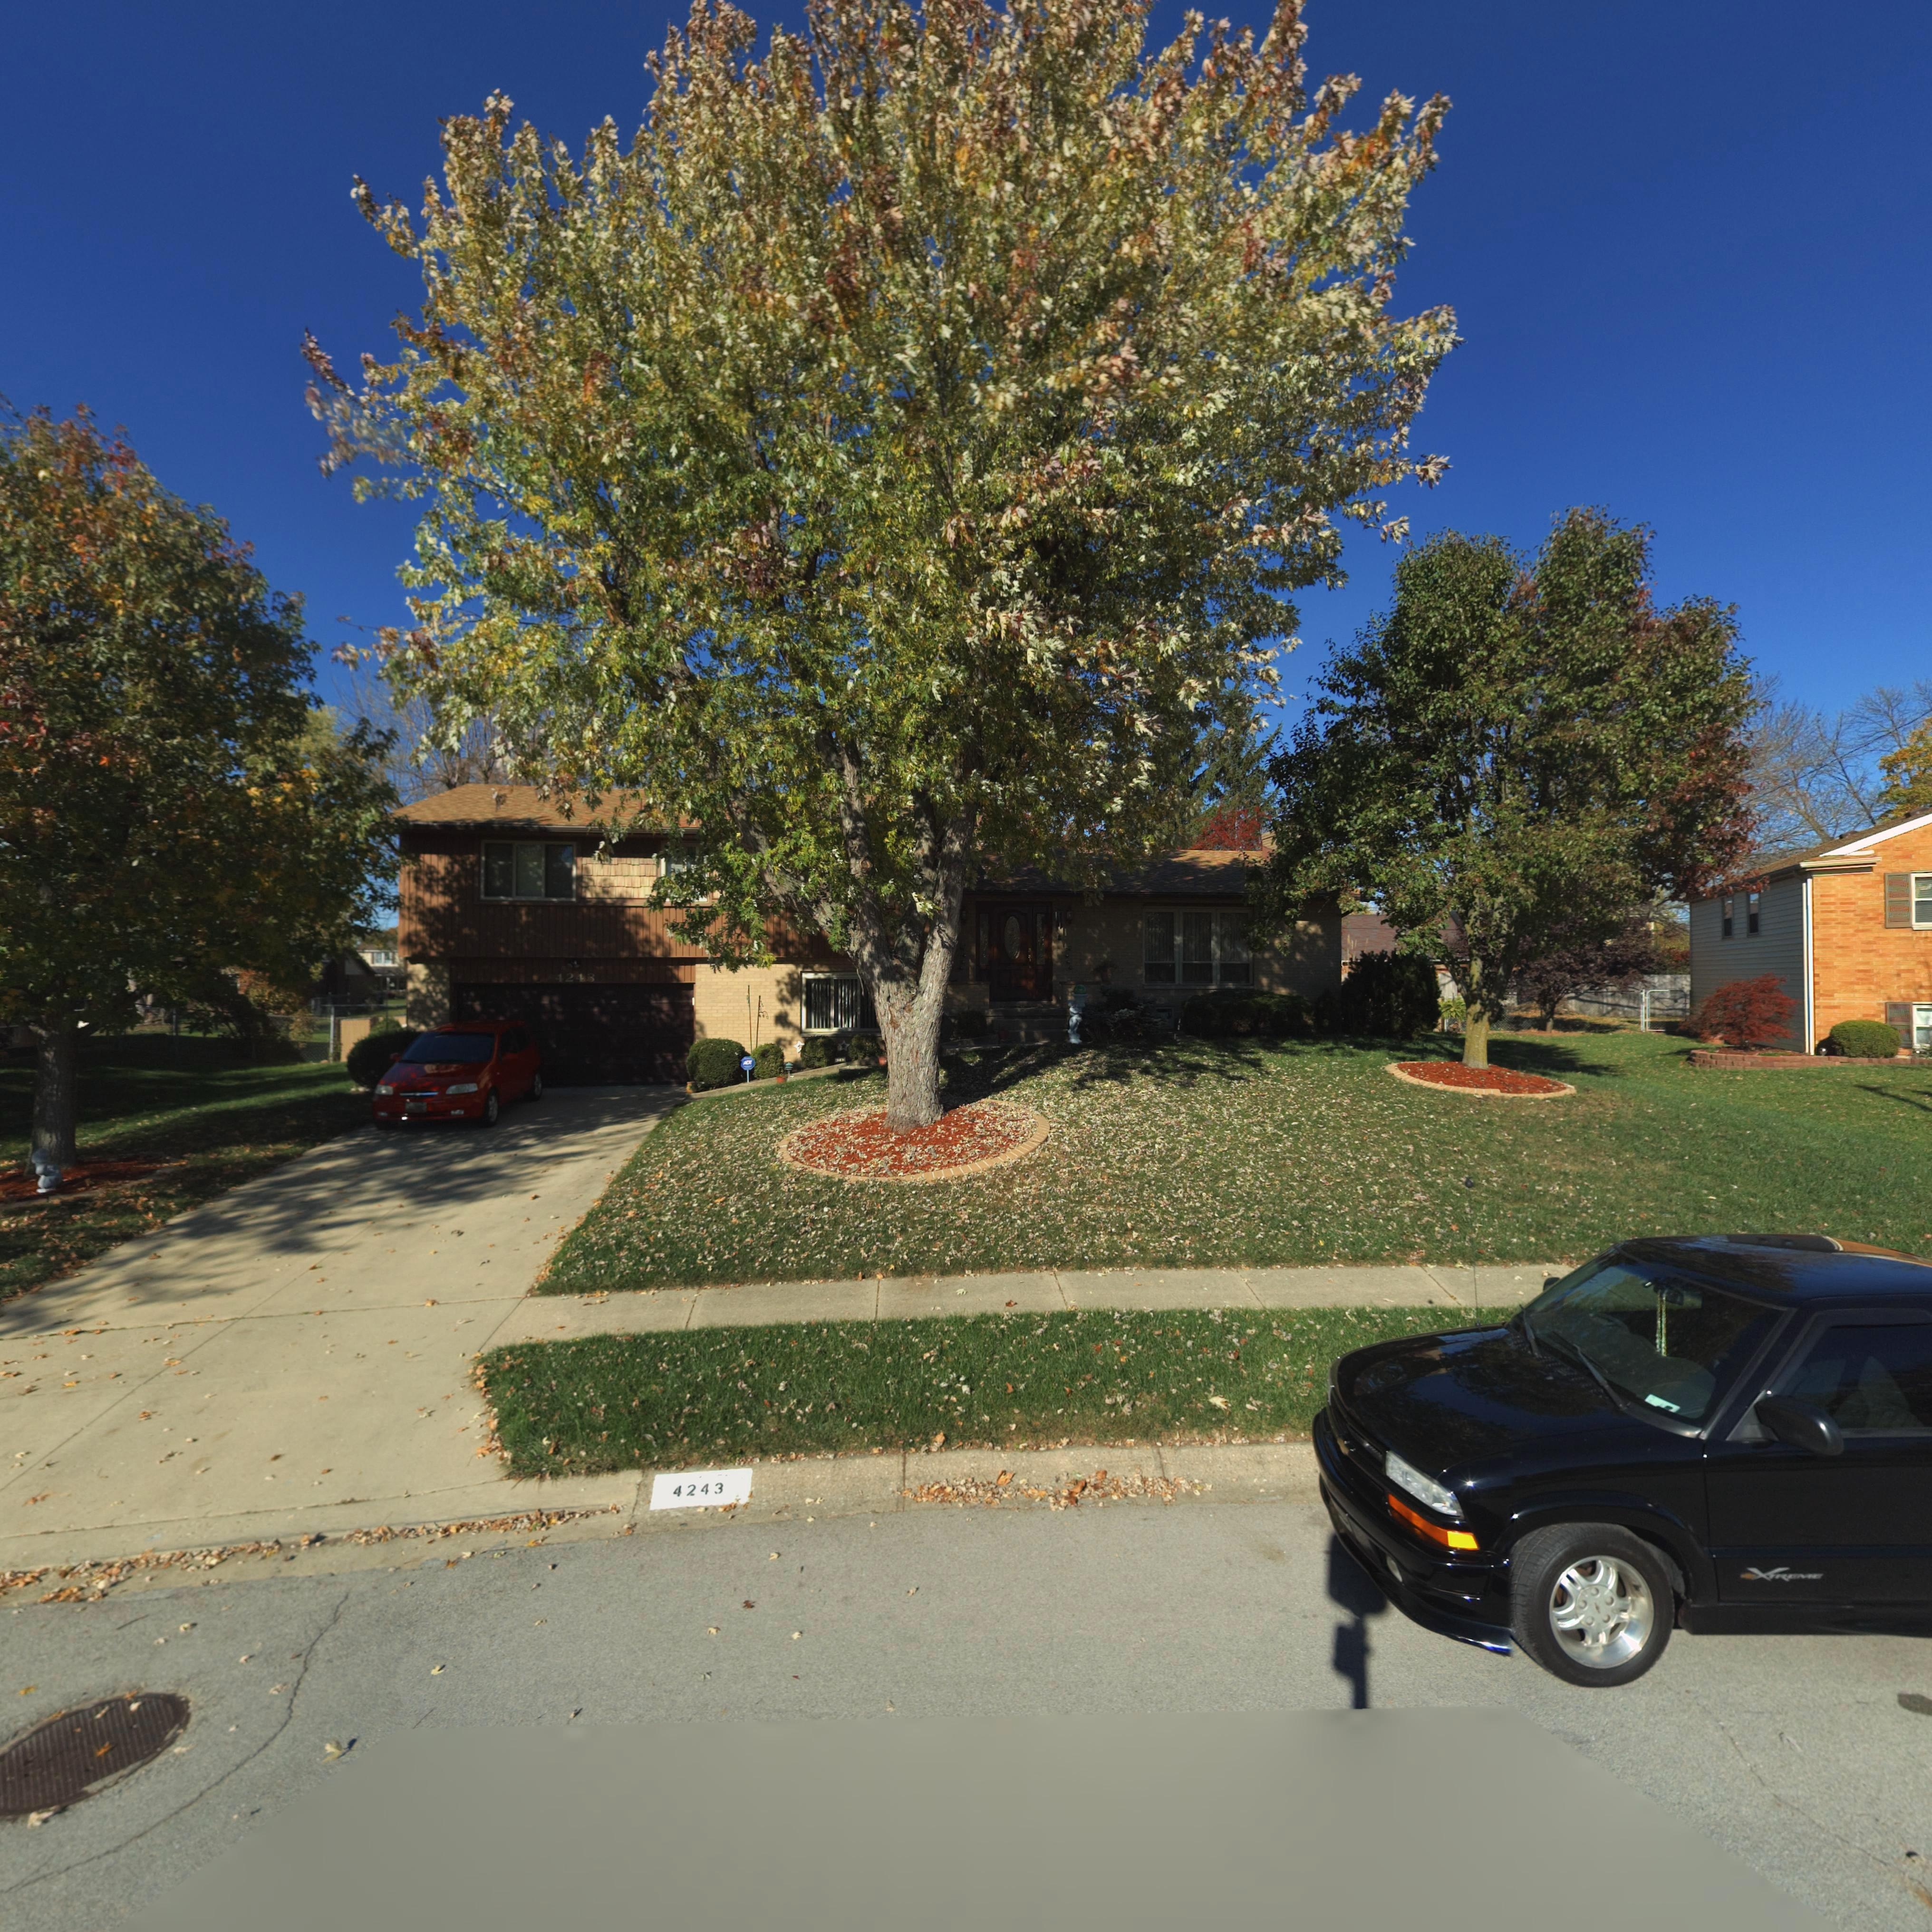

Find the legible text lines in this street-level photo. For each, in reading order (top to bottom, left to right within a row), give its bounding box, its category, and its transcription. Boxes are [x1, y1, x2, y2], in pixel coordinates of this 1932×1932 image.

[553, 971, 597, 984] StreetNumber: 4243
[671, 1481, 725, 1499] StreetNumber: 4243
[1767, 1573, 1826, 1580] None: TREME